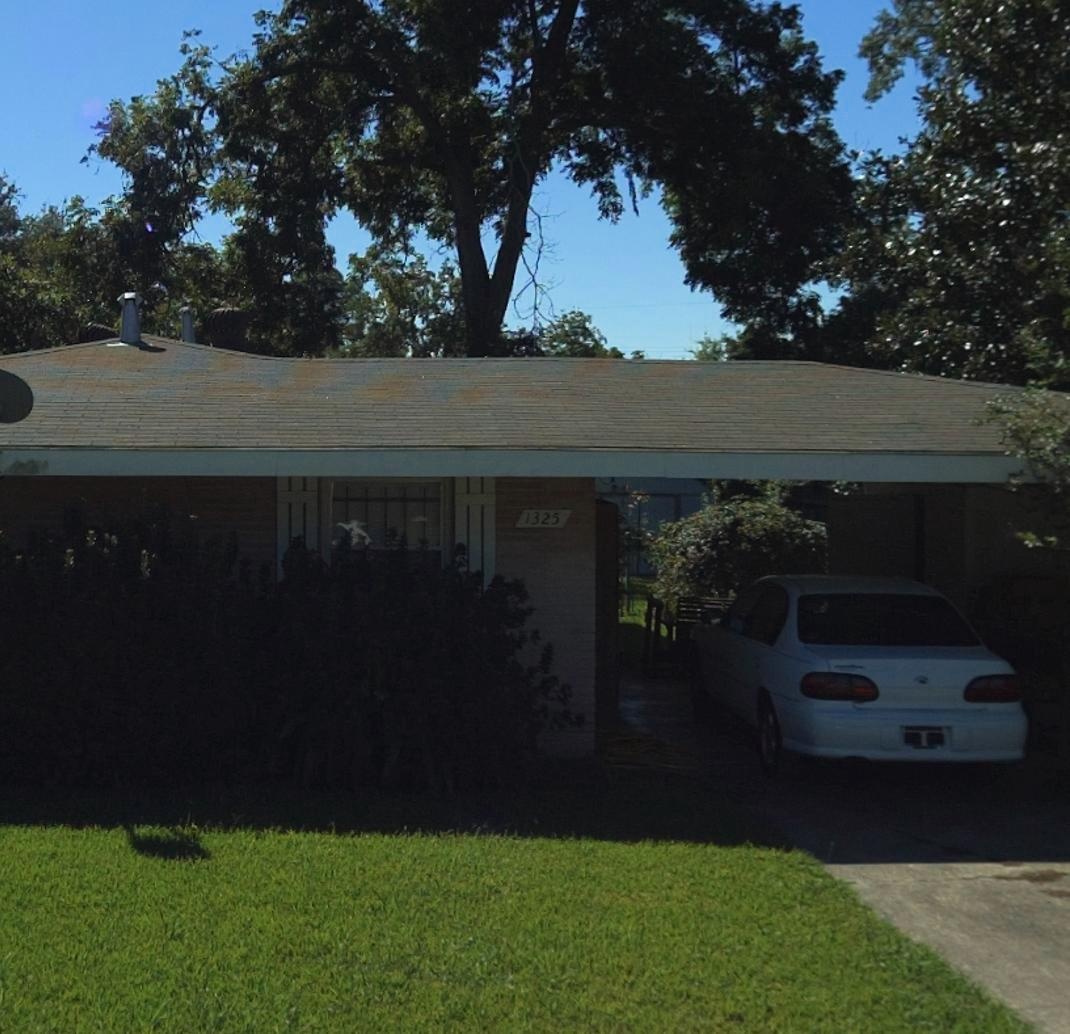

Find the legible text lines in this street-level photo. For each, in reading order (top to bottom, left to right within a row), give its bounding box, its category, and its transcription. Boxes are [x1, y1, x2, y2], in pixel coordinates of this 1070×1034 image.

[523, 510, 561, 526] StreetNumber: 1325